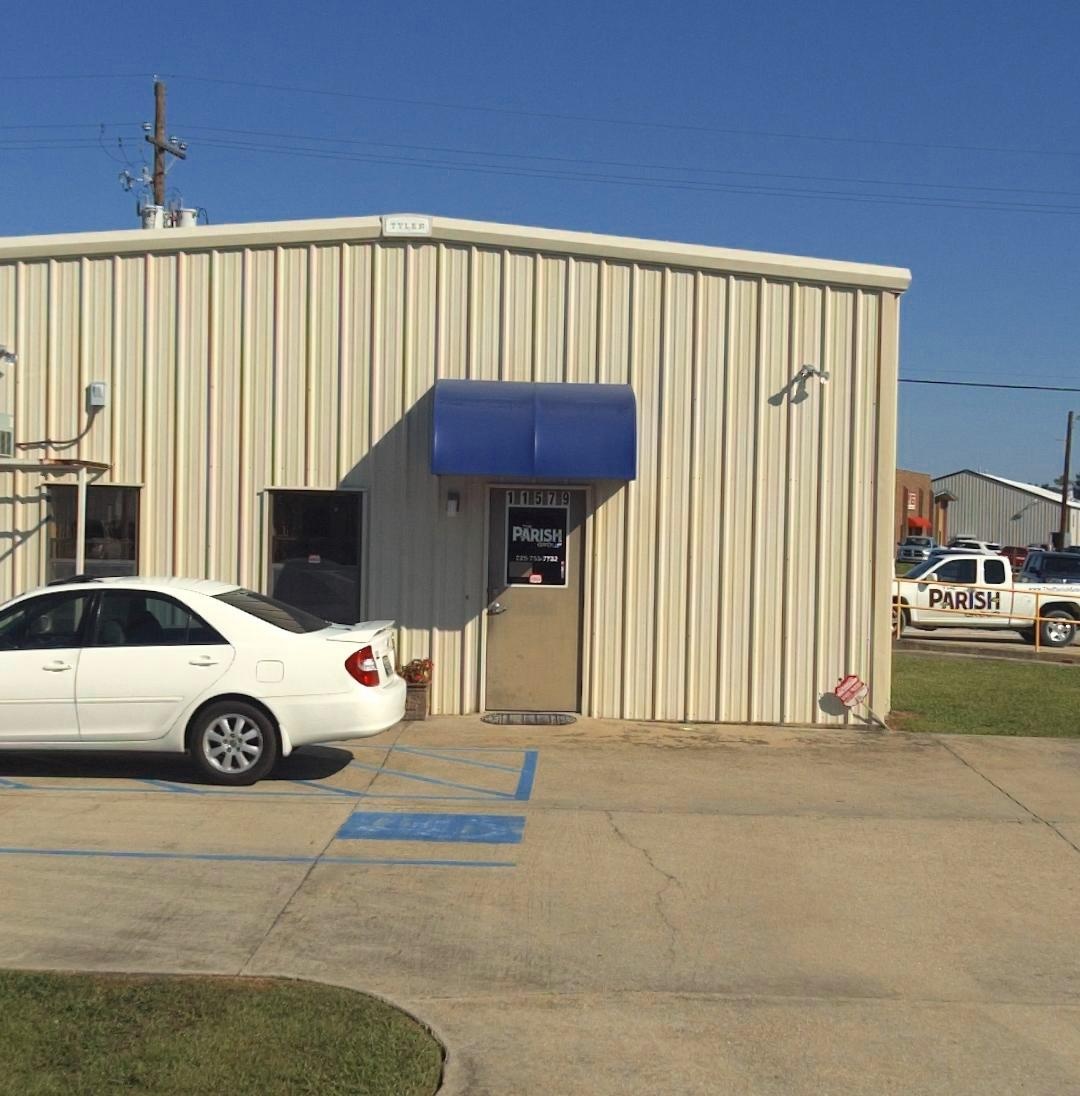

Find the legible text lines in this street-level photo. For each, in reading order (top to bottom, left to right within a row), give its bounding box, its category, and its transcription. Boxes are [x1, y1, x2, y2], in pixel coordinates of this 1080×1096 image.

[387, 219, 427, 233] None: TYLE*
[504, 489, 571, 508] StreetNumber: 11579
[510, 523, 564, 545] BusinessName: The Parish Group
[927, 587, 1002, 612] BusinessName: PARISH